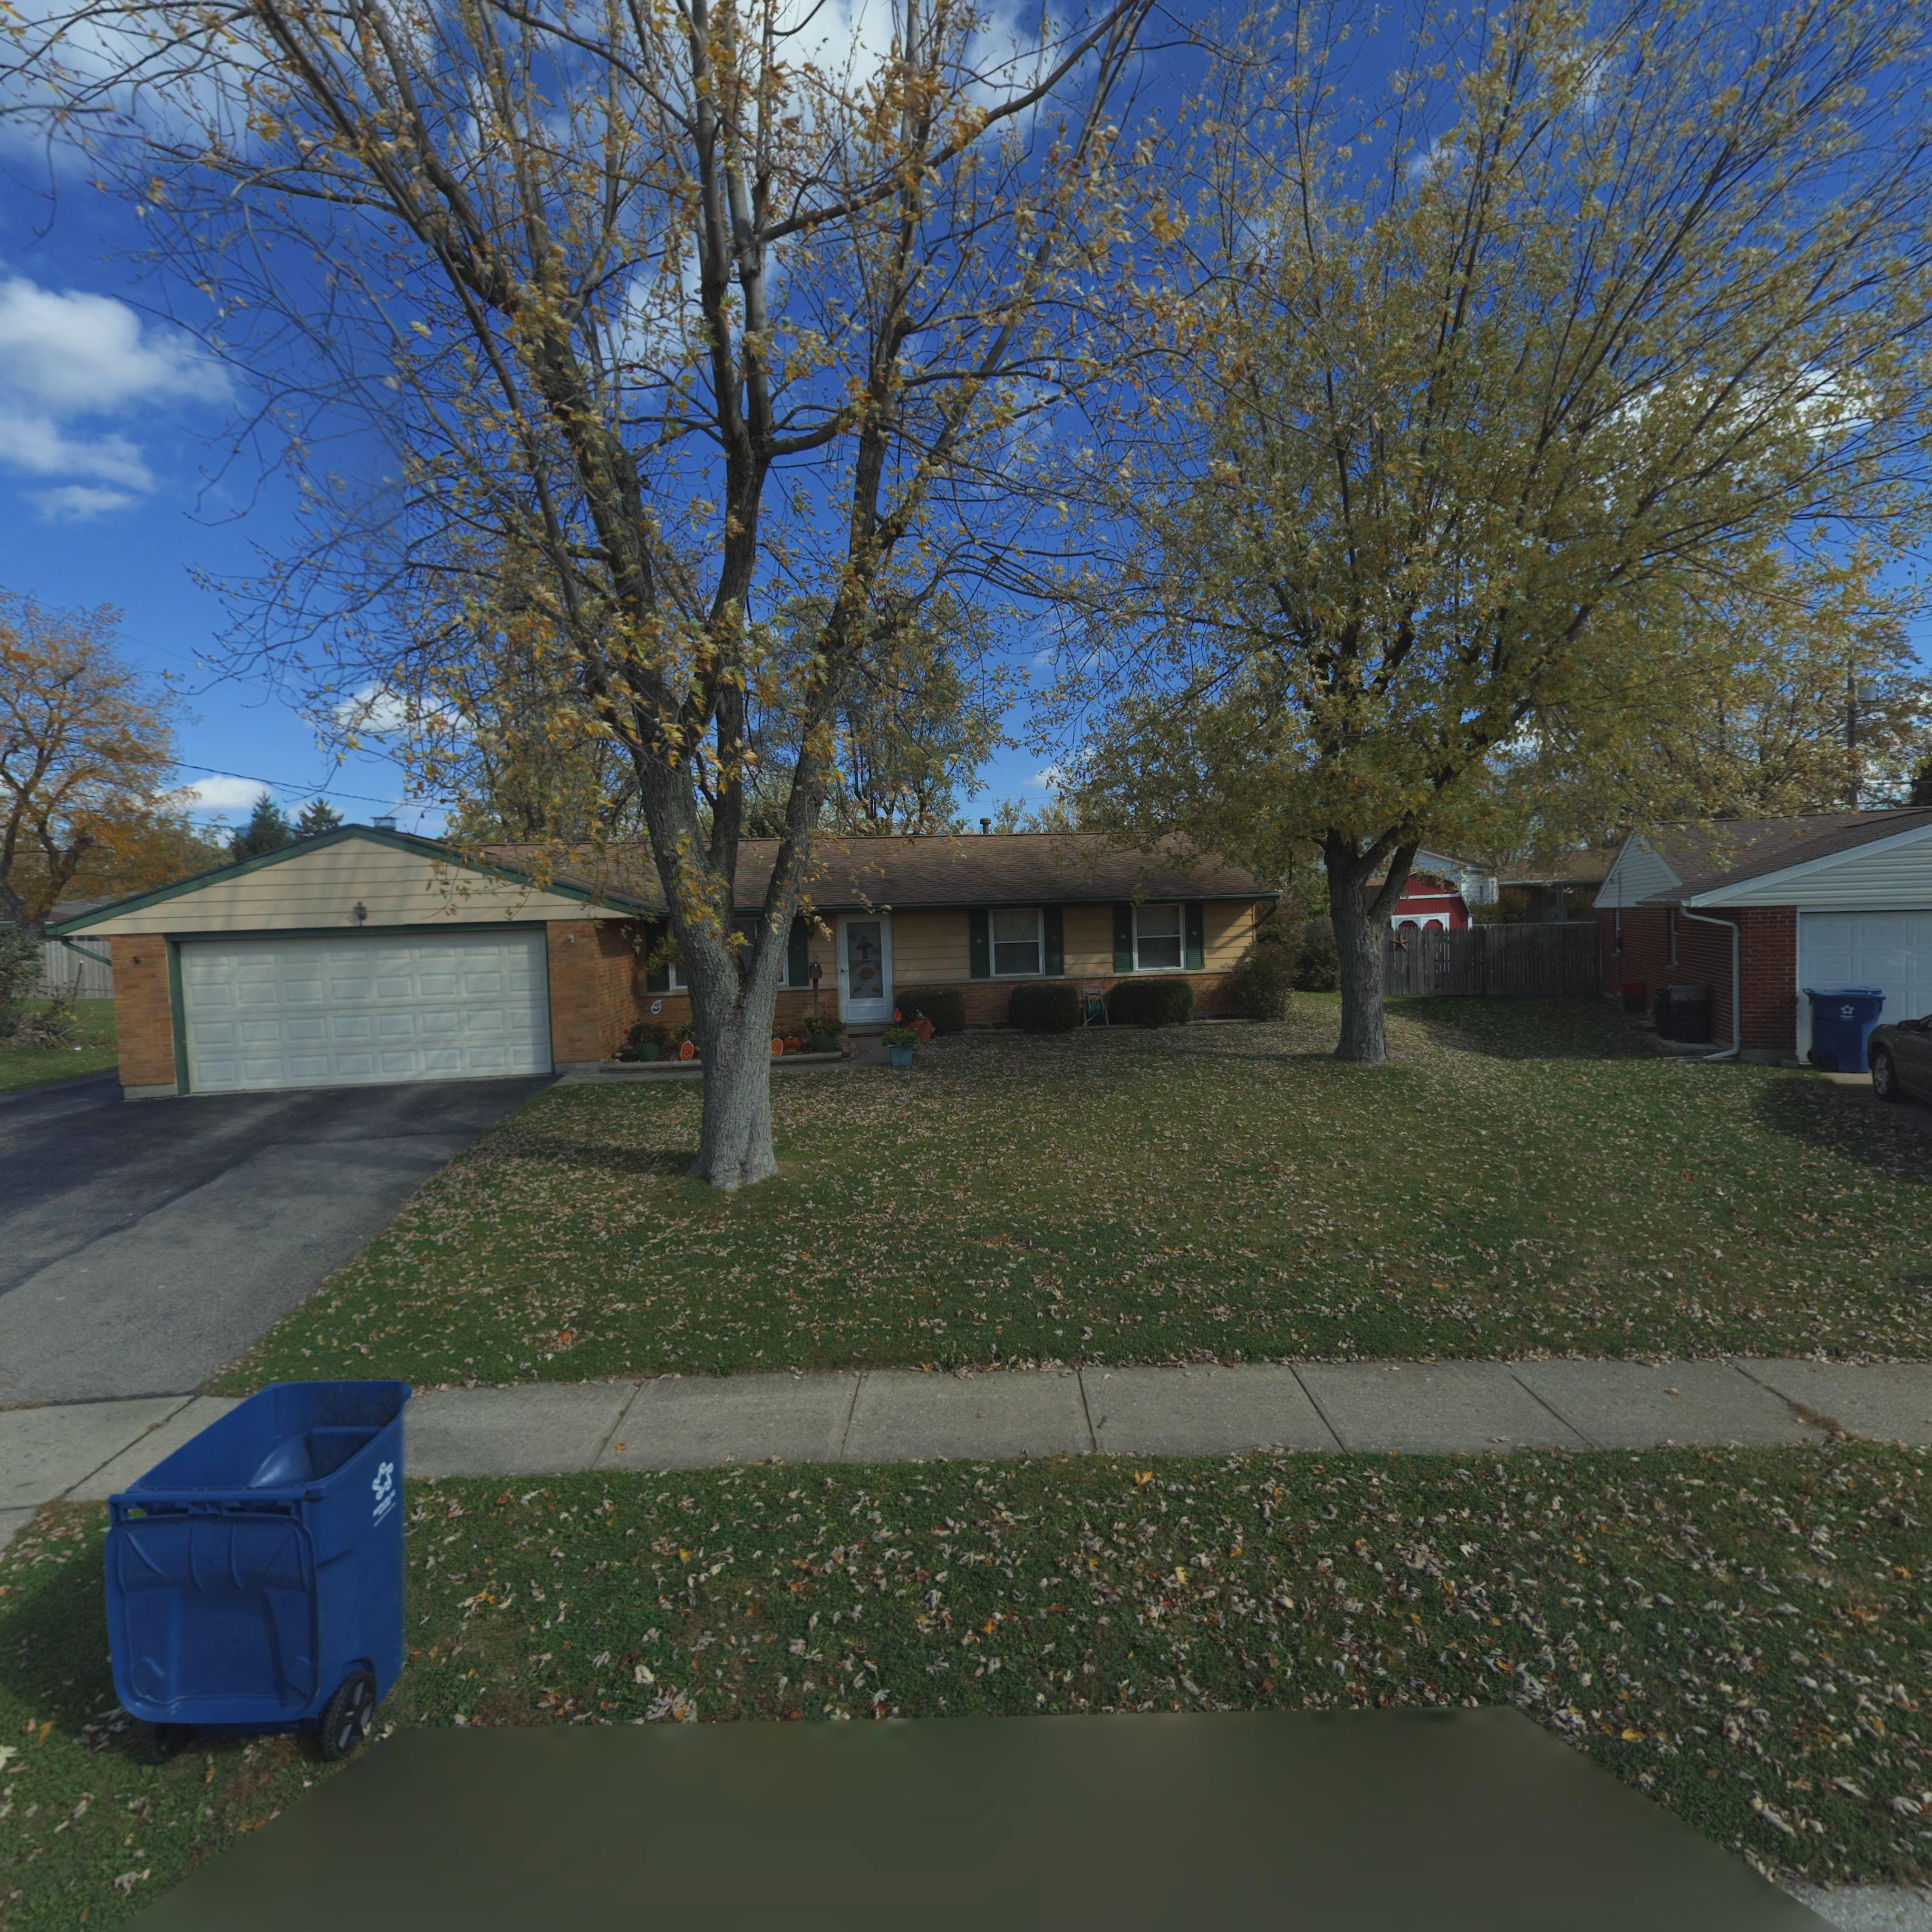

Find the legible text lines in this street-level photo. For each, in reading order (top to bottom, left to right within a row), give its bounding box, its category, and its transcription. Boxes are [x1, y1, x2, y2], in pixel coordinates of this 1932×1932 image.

[813, 995, 818, 1007] StreetNumber: 80